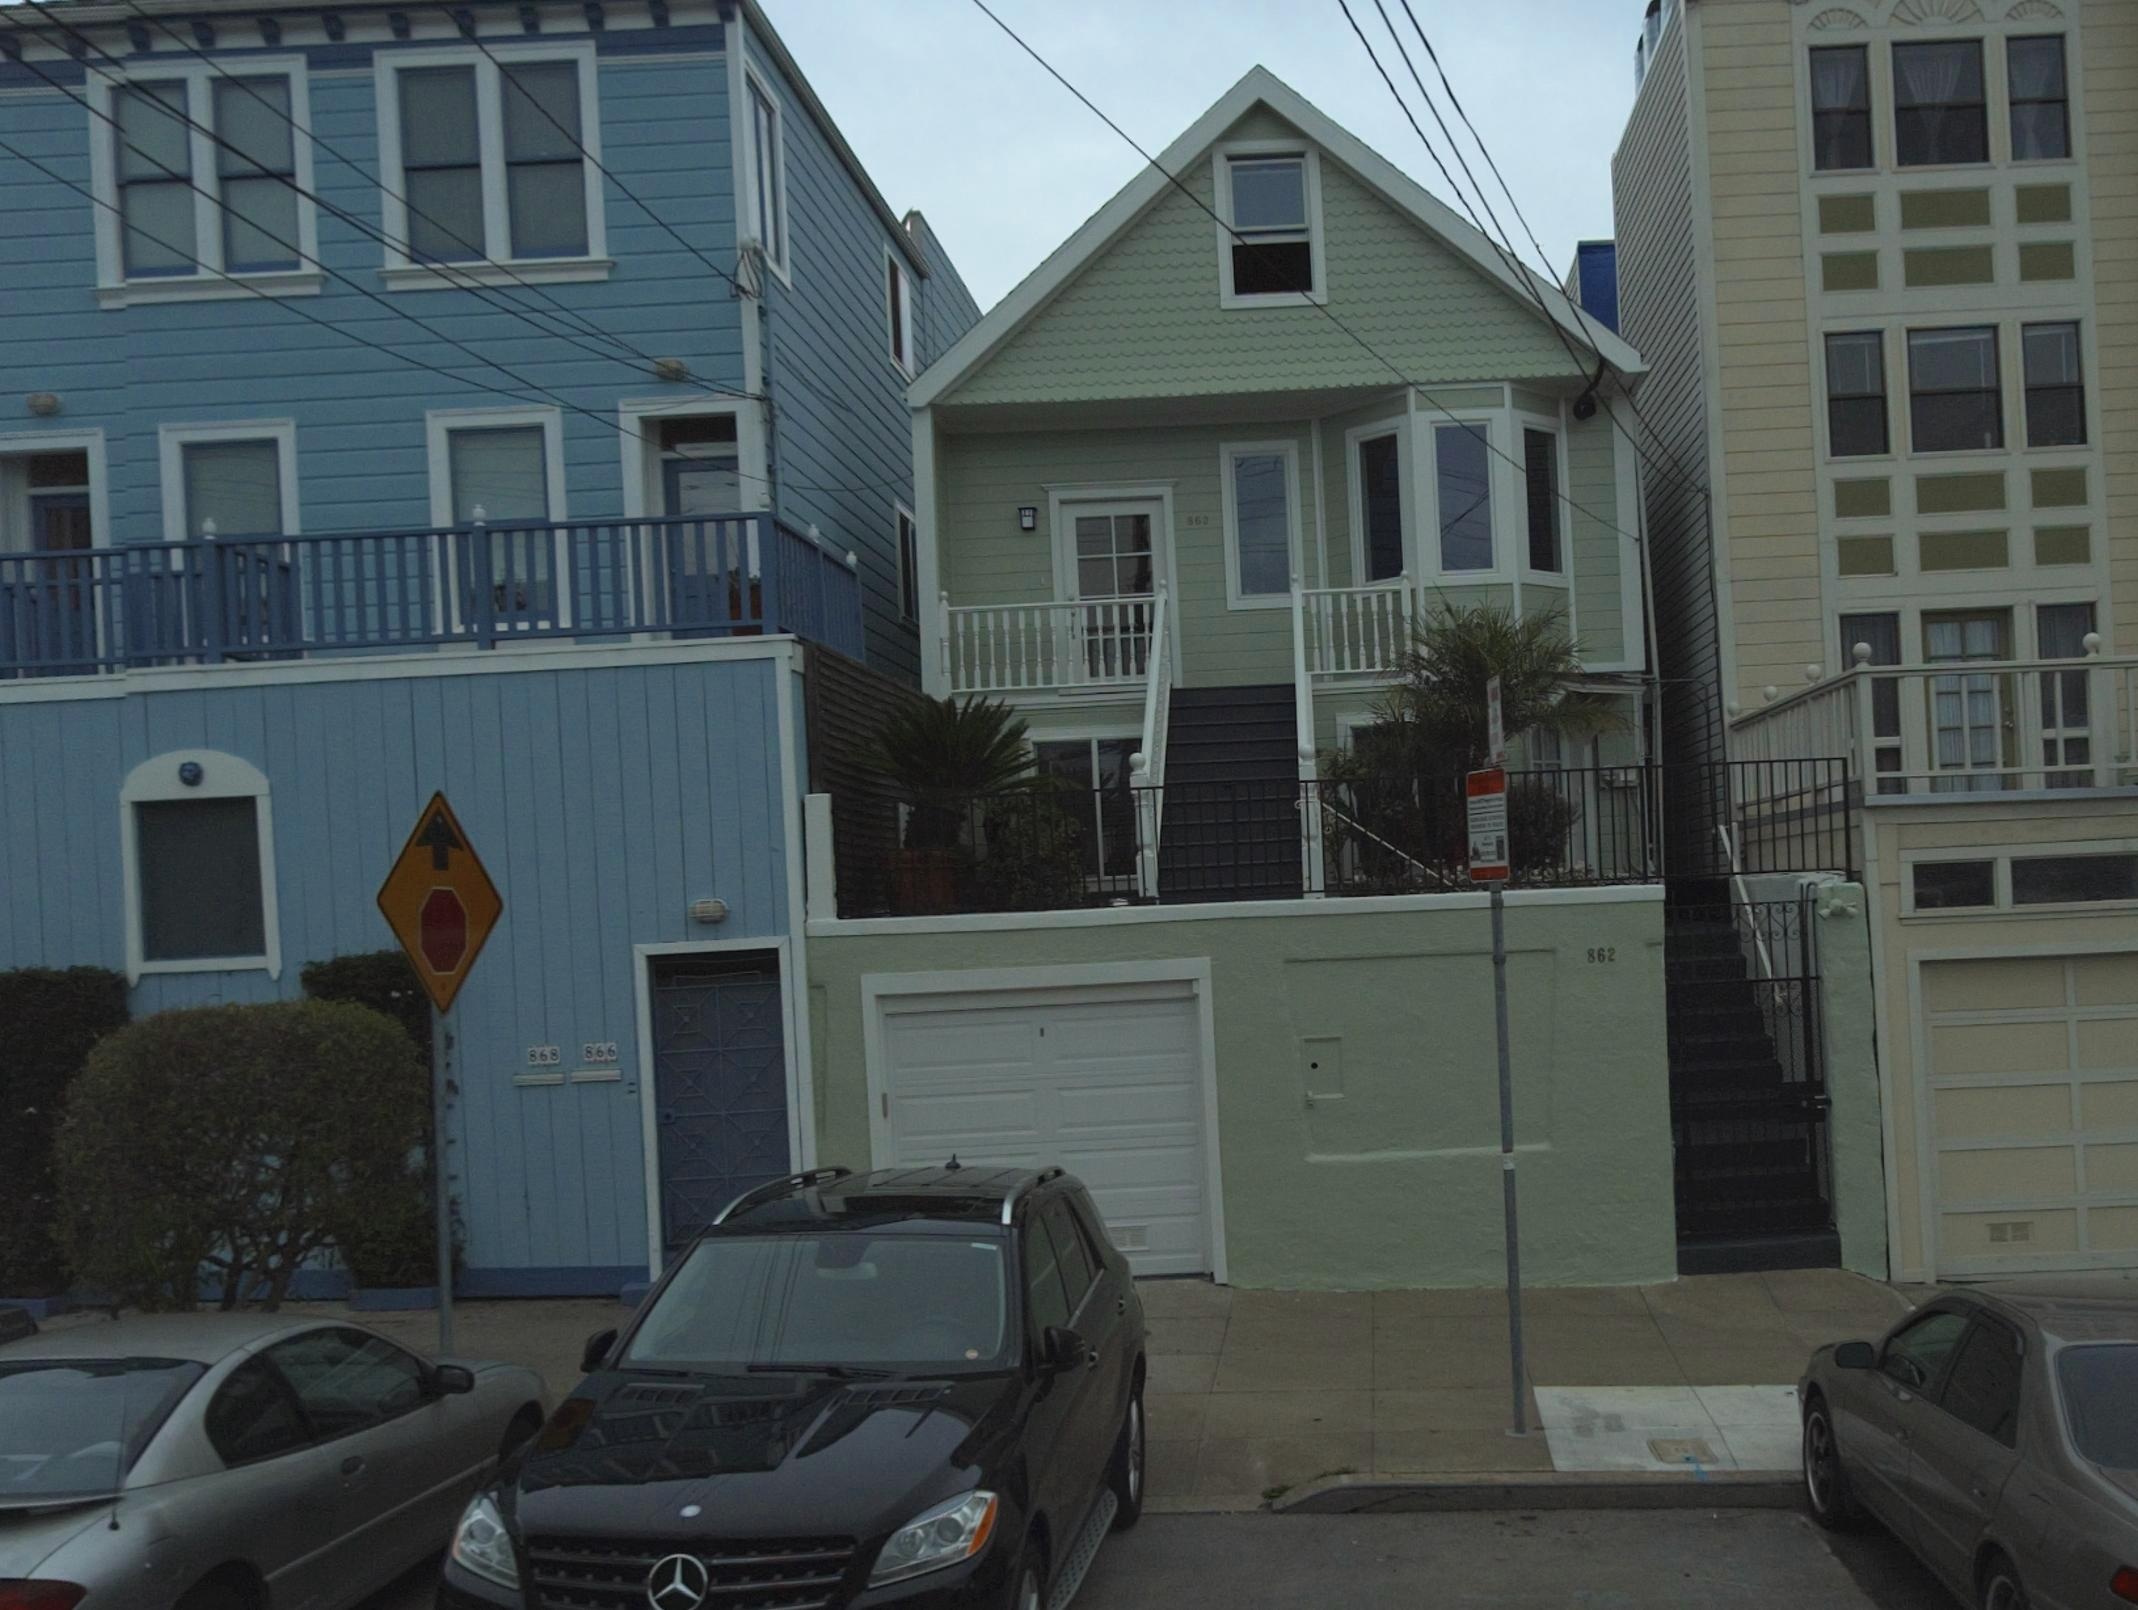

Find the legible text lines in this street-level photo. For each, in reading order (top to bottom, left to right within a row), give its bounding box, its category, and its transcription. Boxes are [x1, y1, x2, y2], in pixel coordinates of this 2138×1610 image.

[1187, 515, 1209, 527] StreetNumber: 862
[1586, 947, 1616, 964] StreetNumber: 862
[528, 1047, 559, 1063] StreetNumber: 868
[584, 1044, 616, 1059] StreetNumber: 866